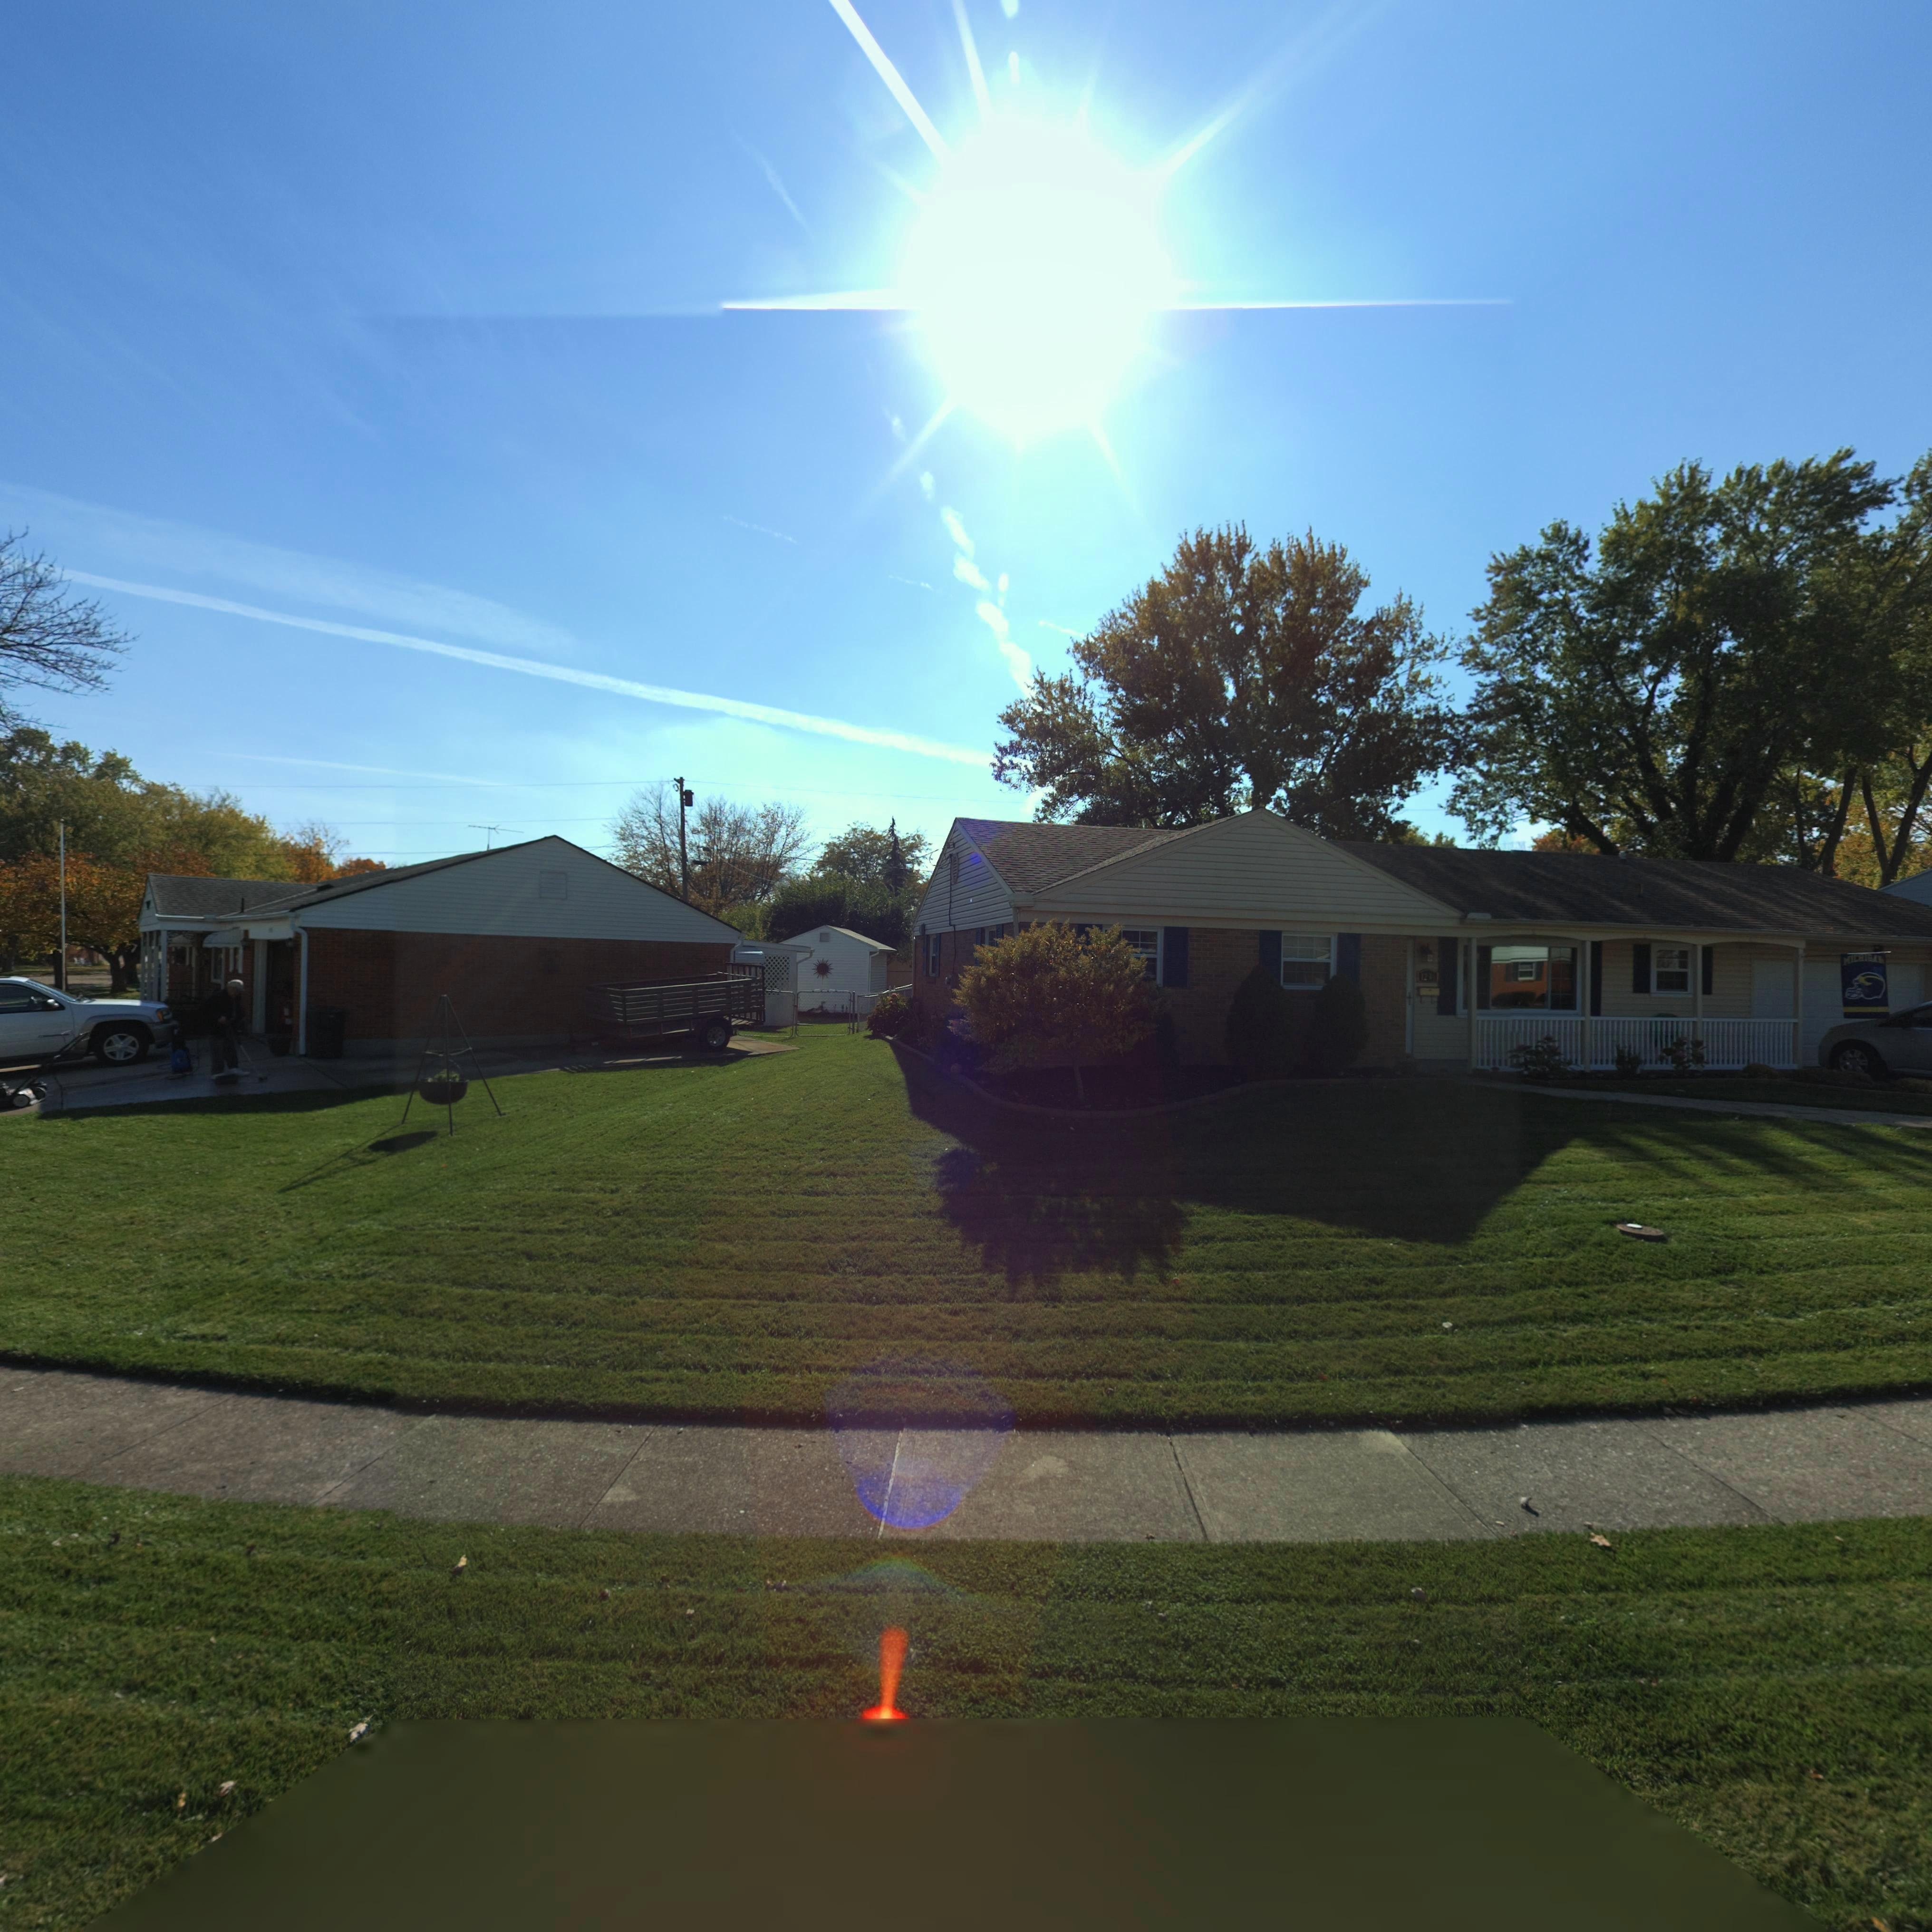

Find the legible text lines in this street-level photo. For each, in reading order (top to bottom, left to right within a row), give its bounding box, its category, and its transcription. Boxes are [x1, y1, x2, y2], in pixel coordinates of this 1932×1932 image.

[267, 927, 273, 933] StreetNumber: 3601
[1843, 954, 1885, 966] None: MICHIGAN
[1420, 972, 1436, 980] StreetNumber: 1236